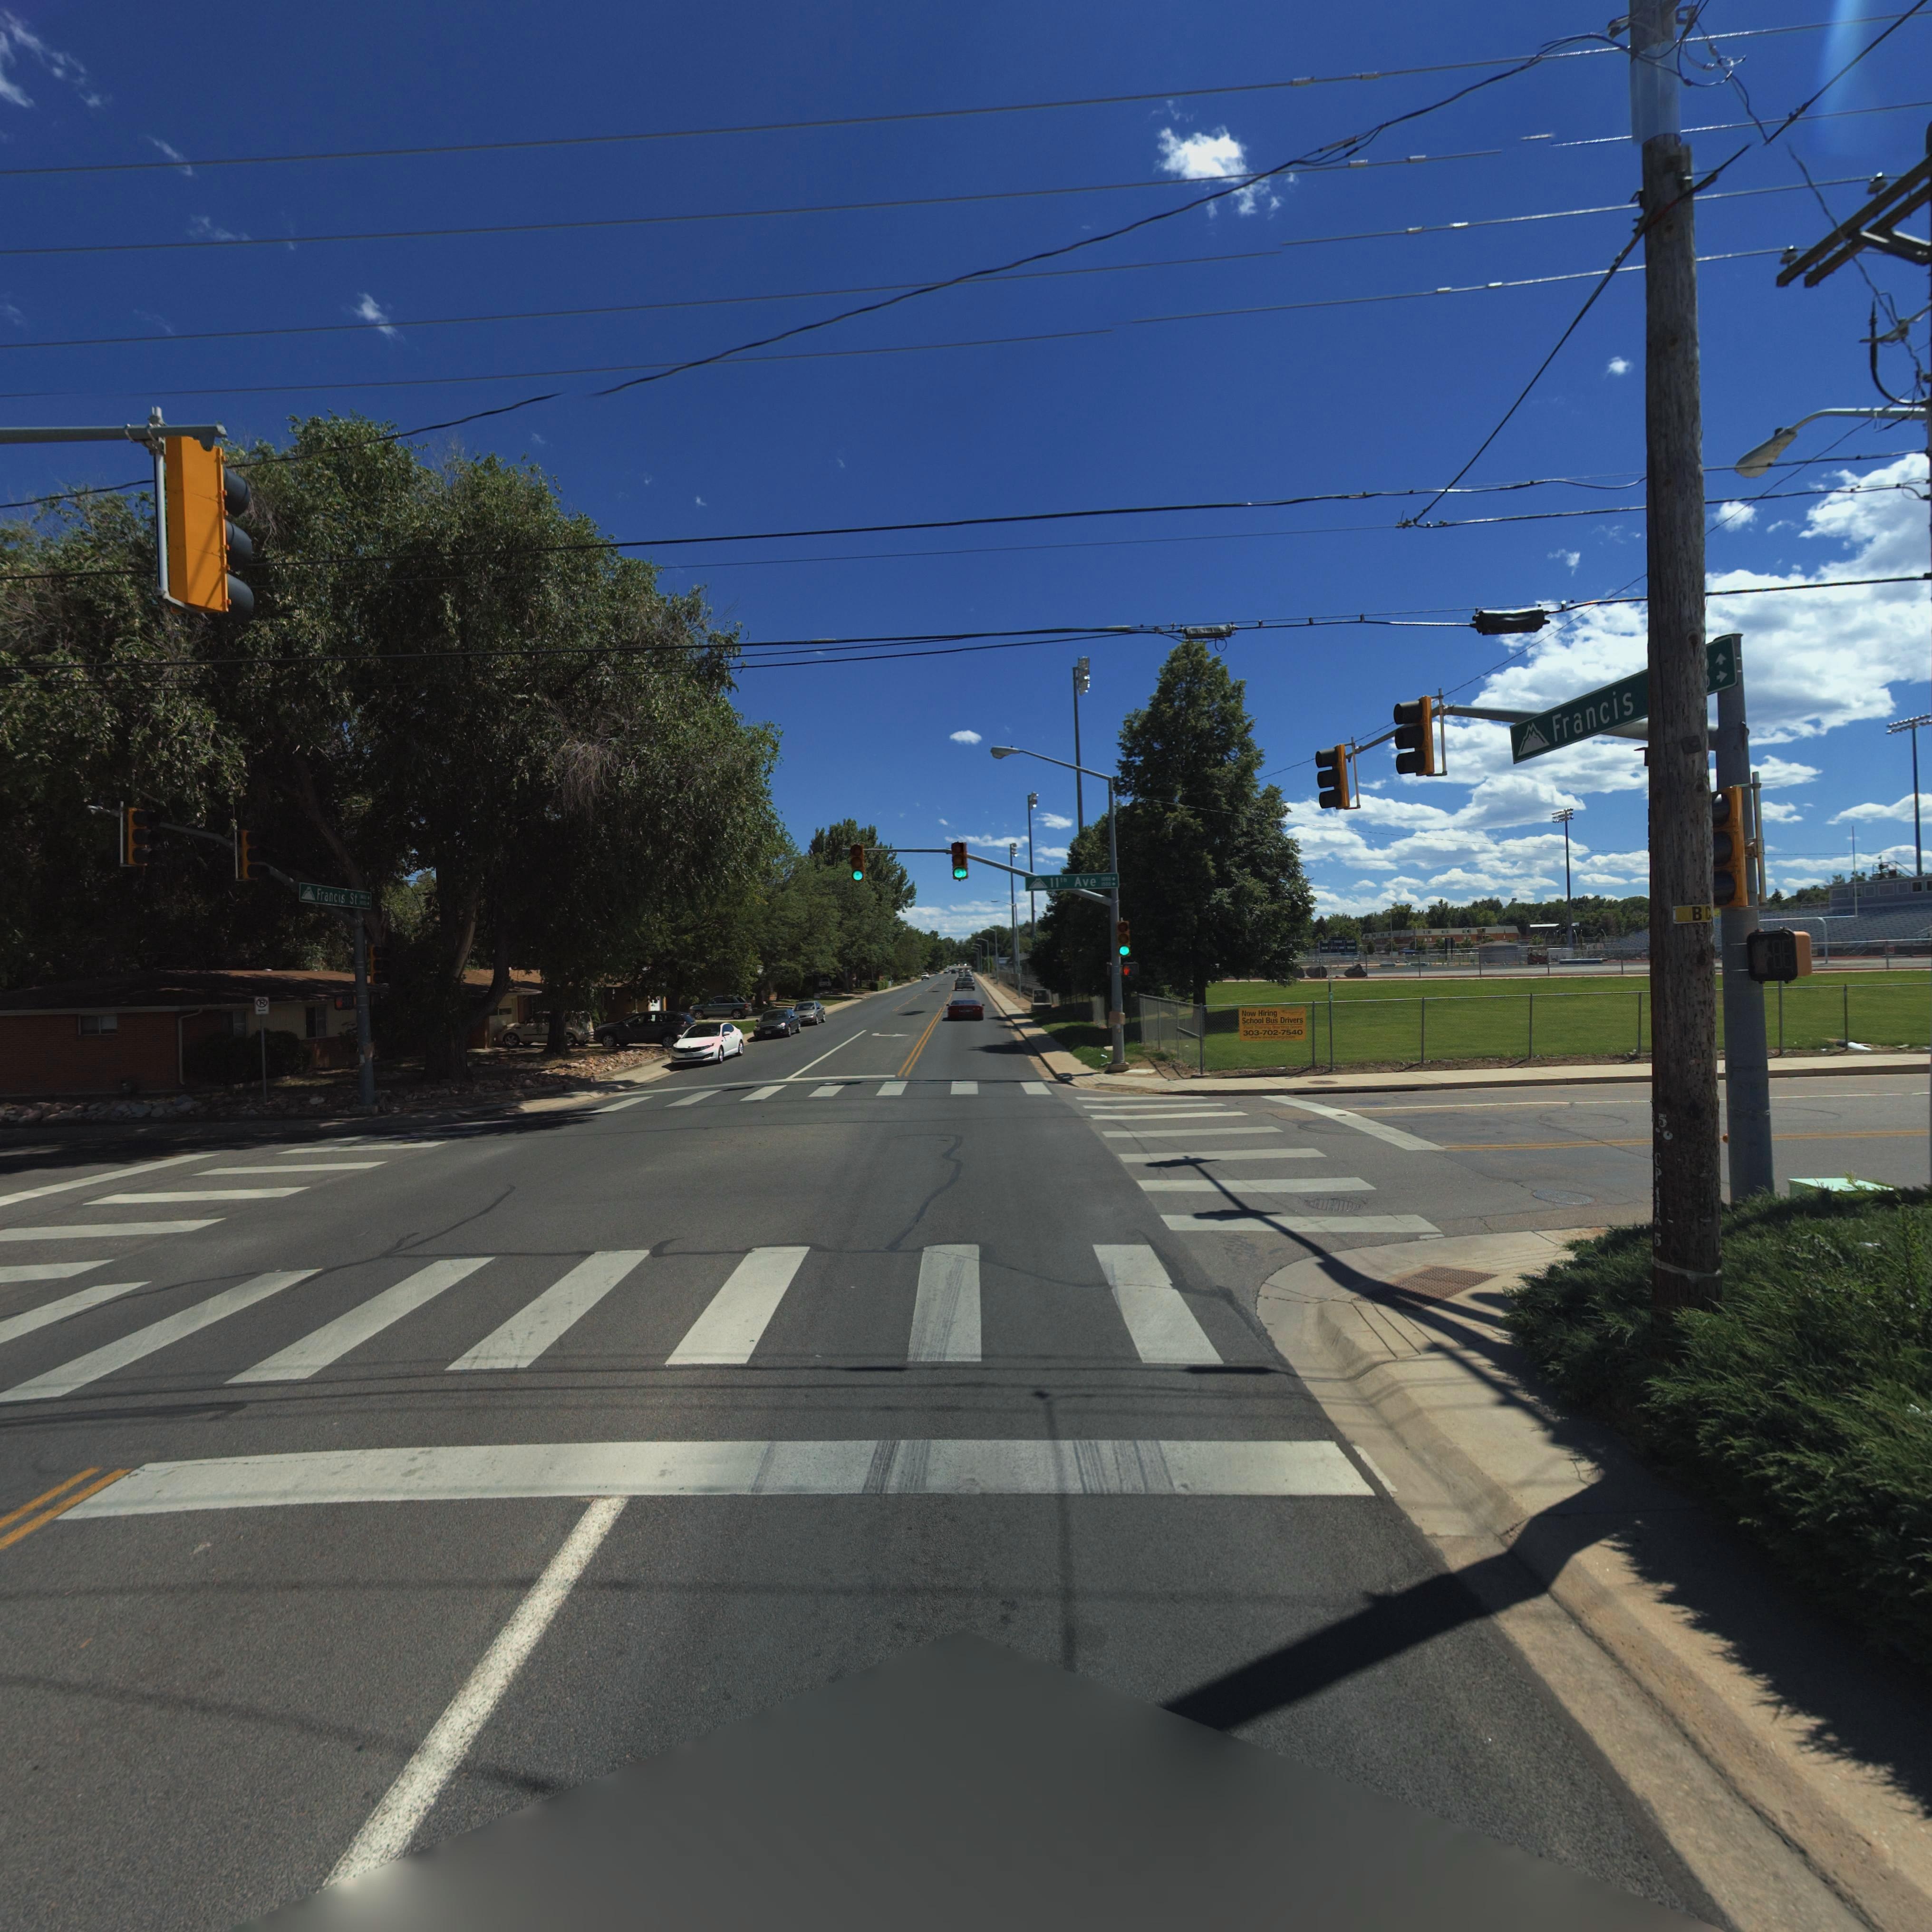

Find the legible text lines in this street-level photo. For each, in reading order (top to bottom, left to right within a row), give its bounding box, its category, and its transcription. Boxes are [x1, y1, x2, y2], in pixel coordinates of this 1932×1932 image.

[1551, 689, 1635, 743] StreetName: Francis
[1049, 876, 1097, 888] StreetName: 11th Ave
[1101, 876, 1111, 881] StreetNumberRange: 1000
[1101, 881, 1117, 887] StreetNumberRange: 1500 ->
[316, 887, 358, 906] StreetName: Francis St